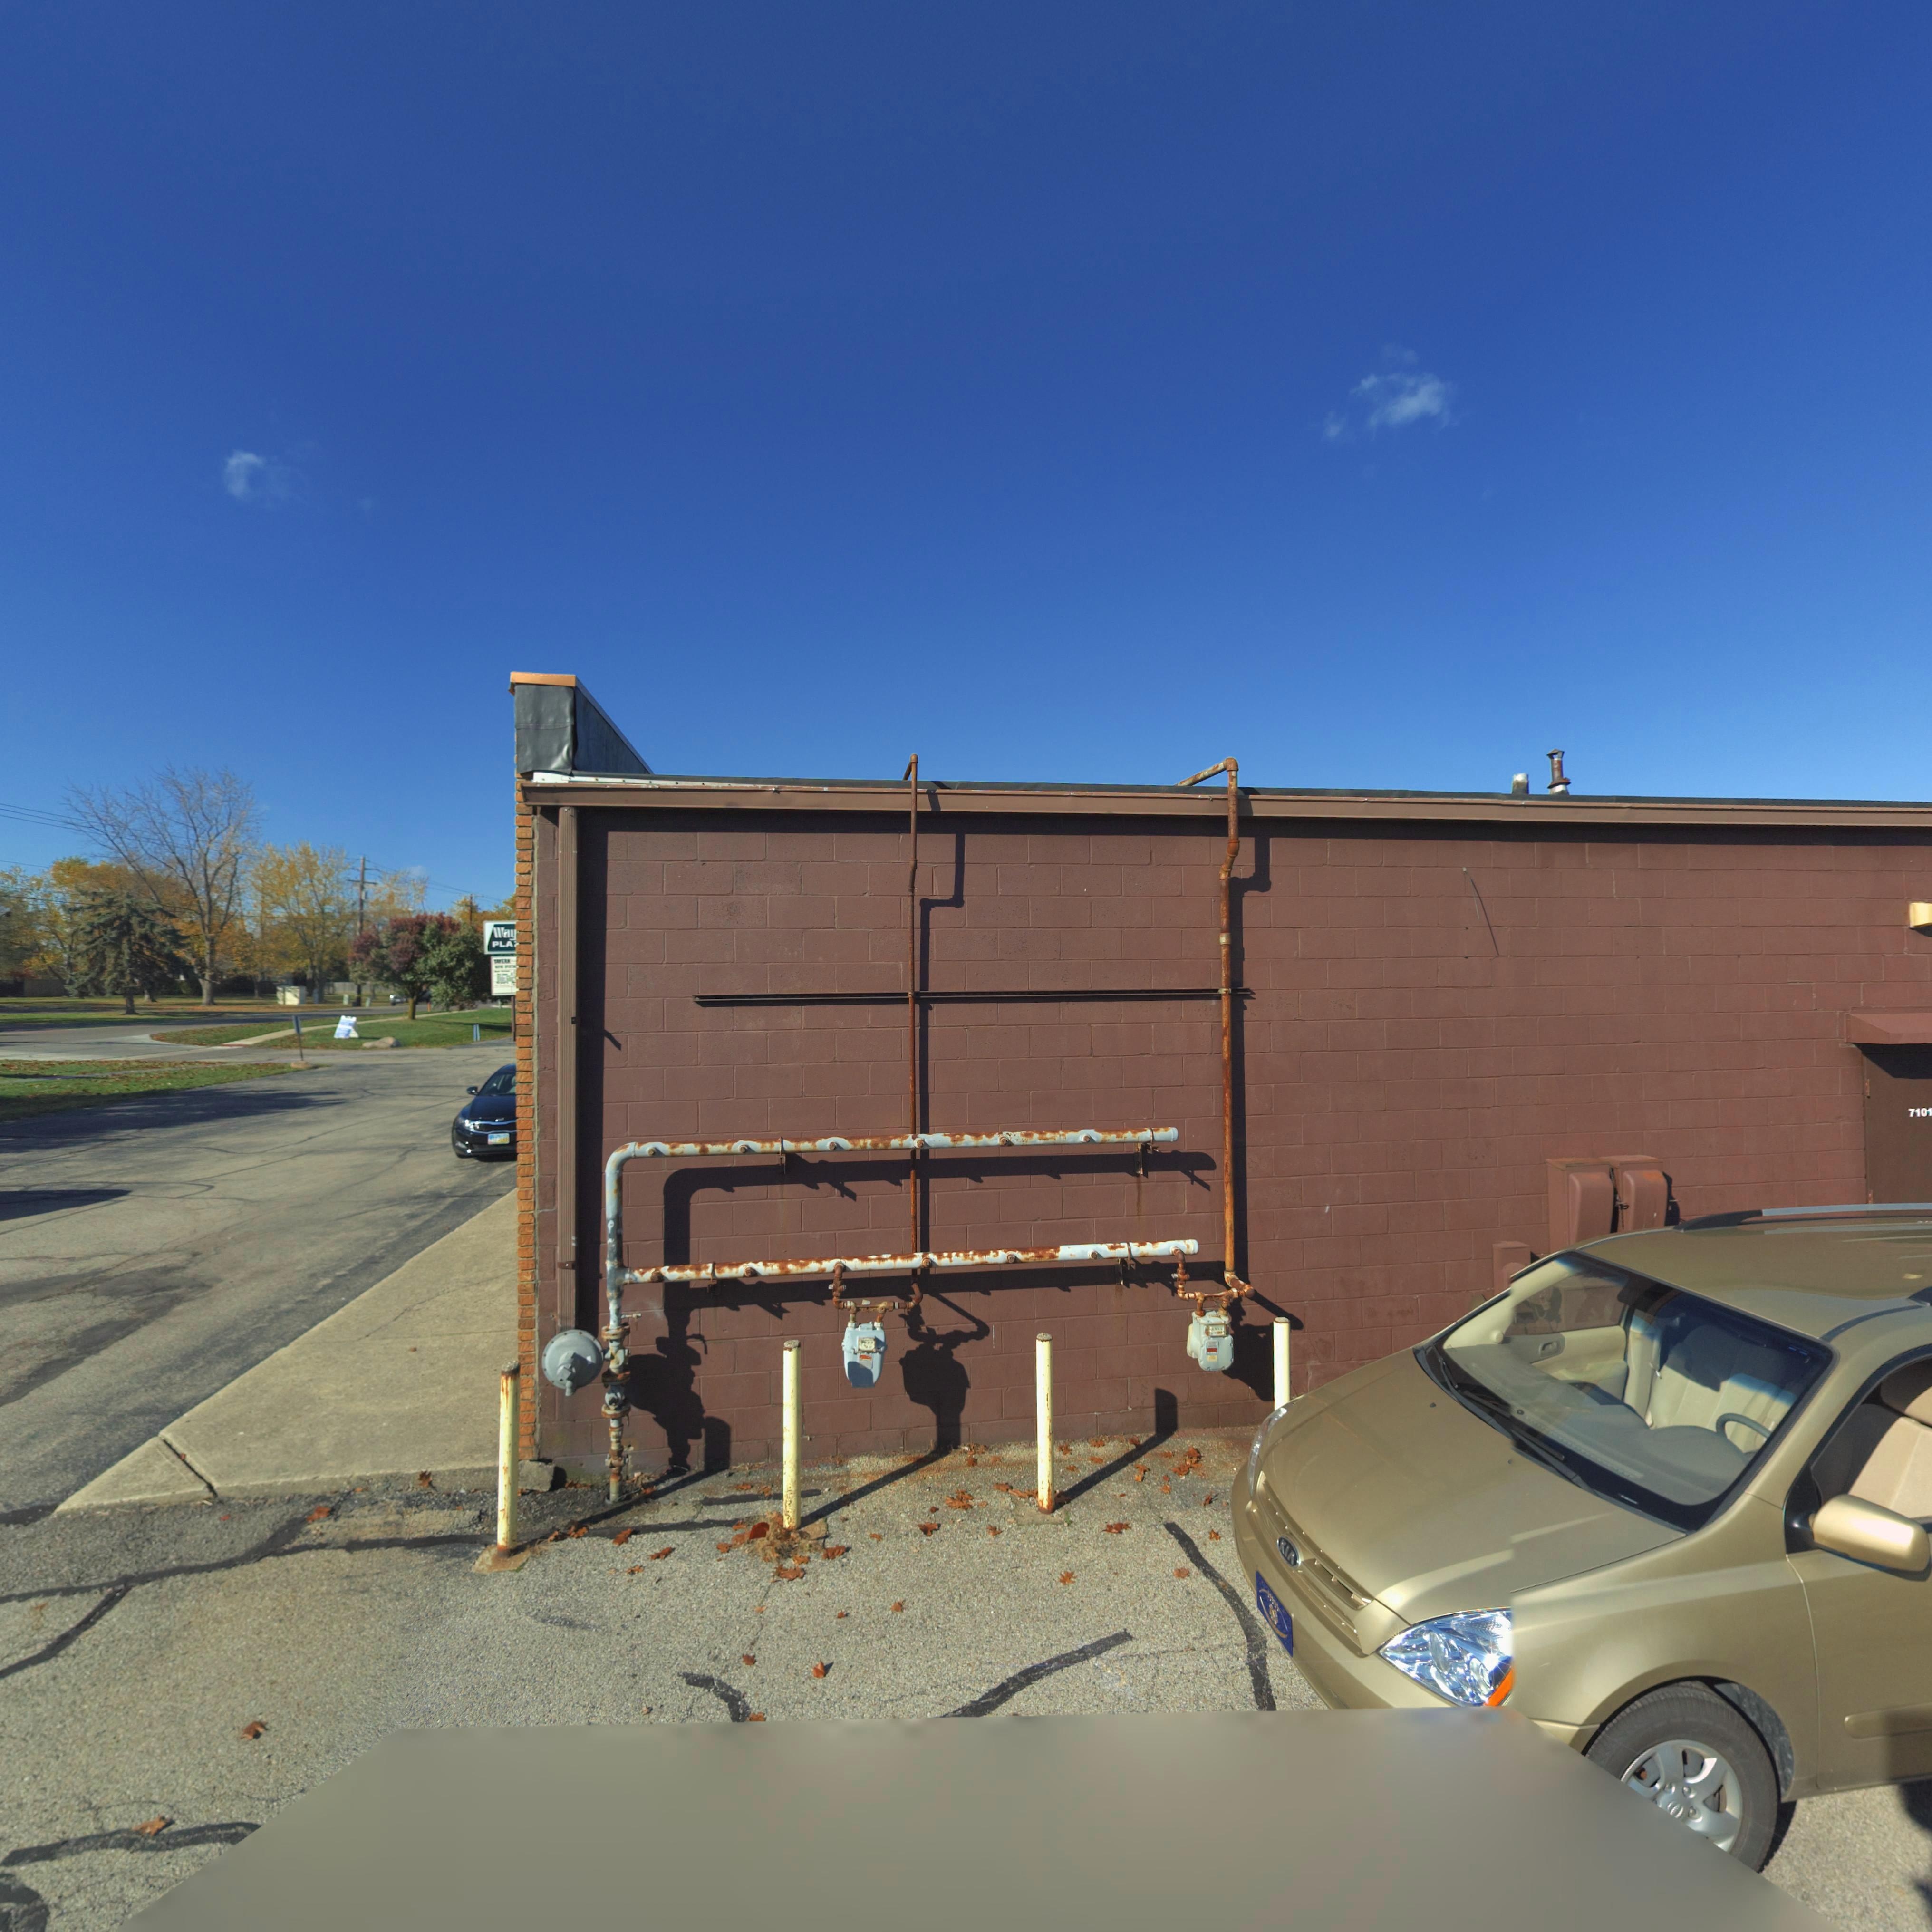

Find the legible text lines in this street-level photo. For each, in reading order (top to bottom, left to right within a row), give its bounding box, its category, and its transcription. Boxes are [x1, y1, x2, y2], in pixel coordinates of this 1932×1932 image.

[1908, 1107, 1932, 1117] StreetNumber: 7101